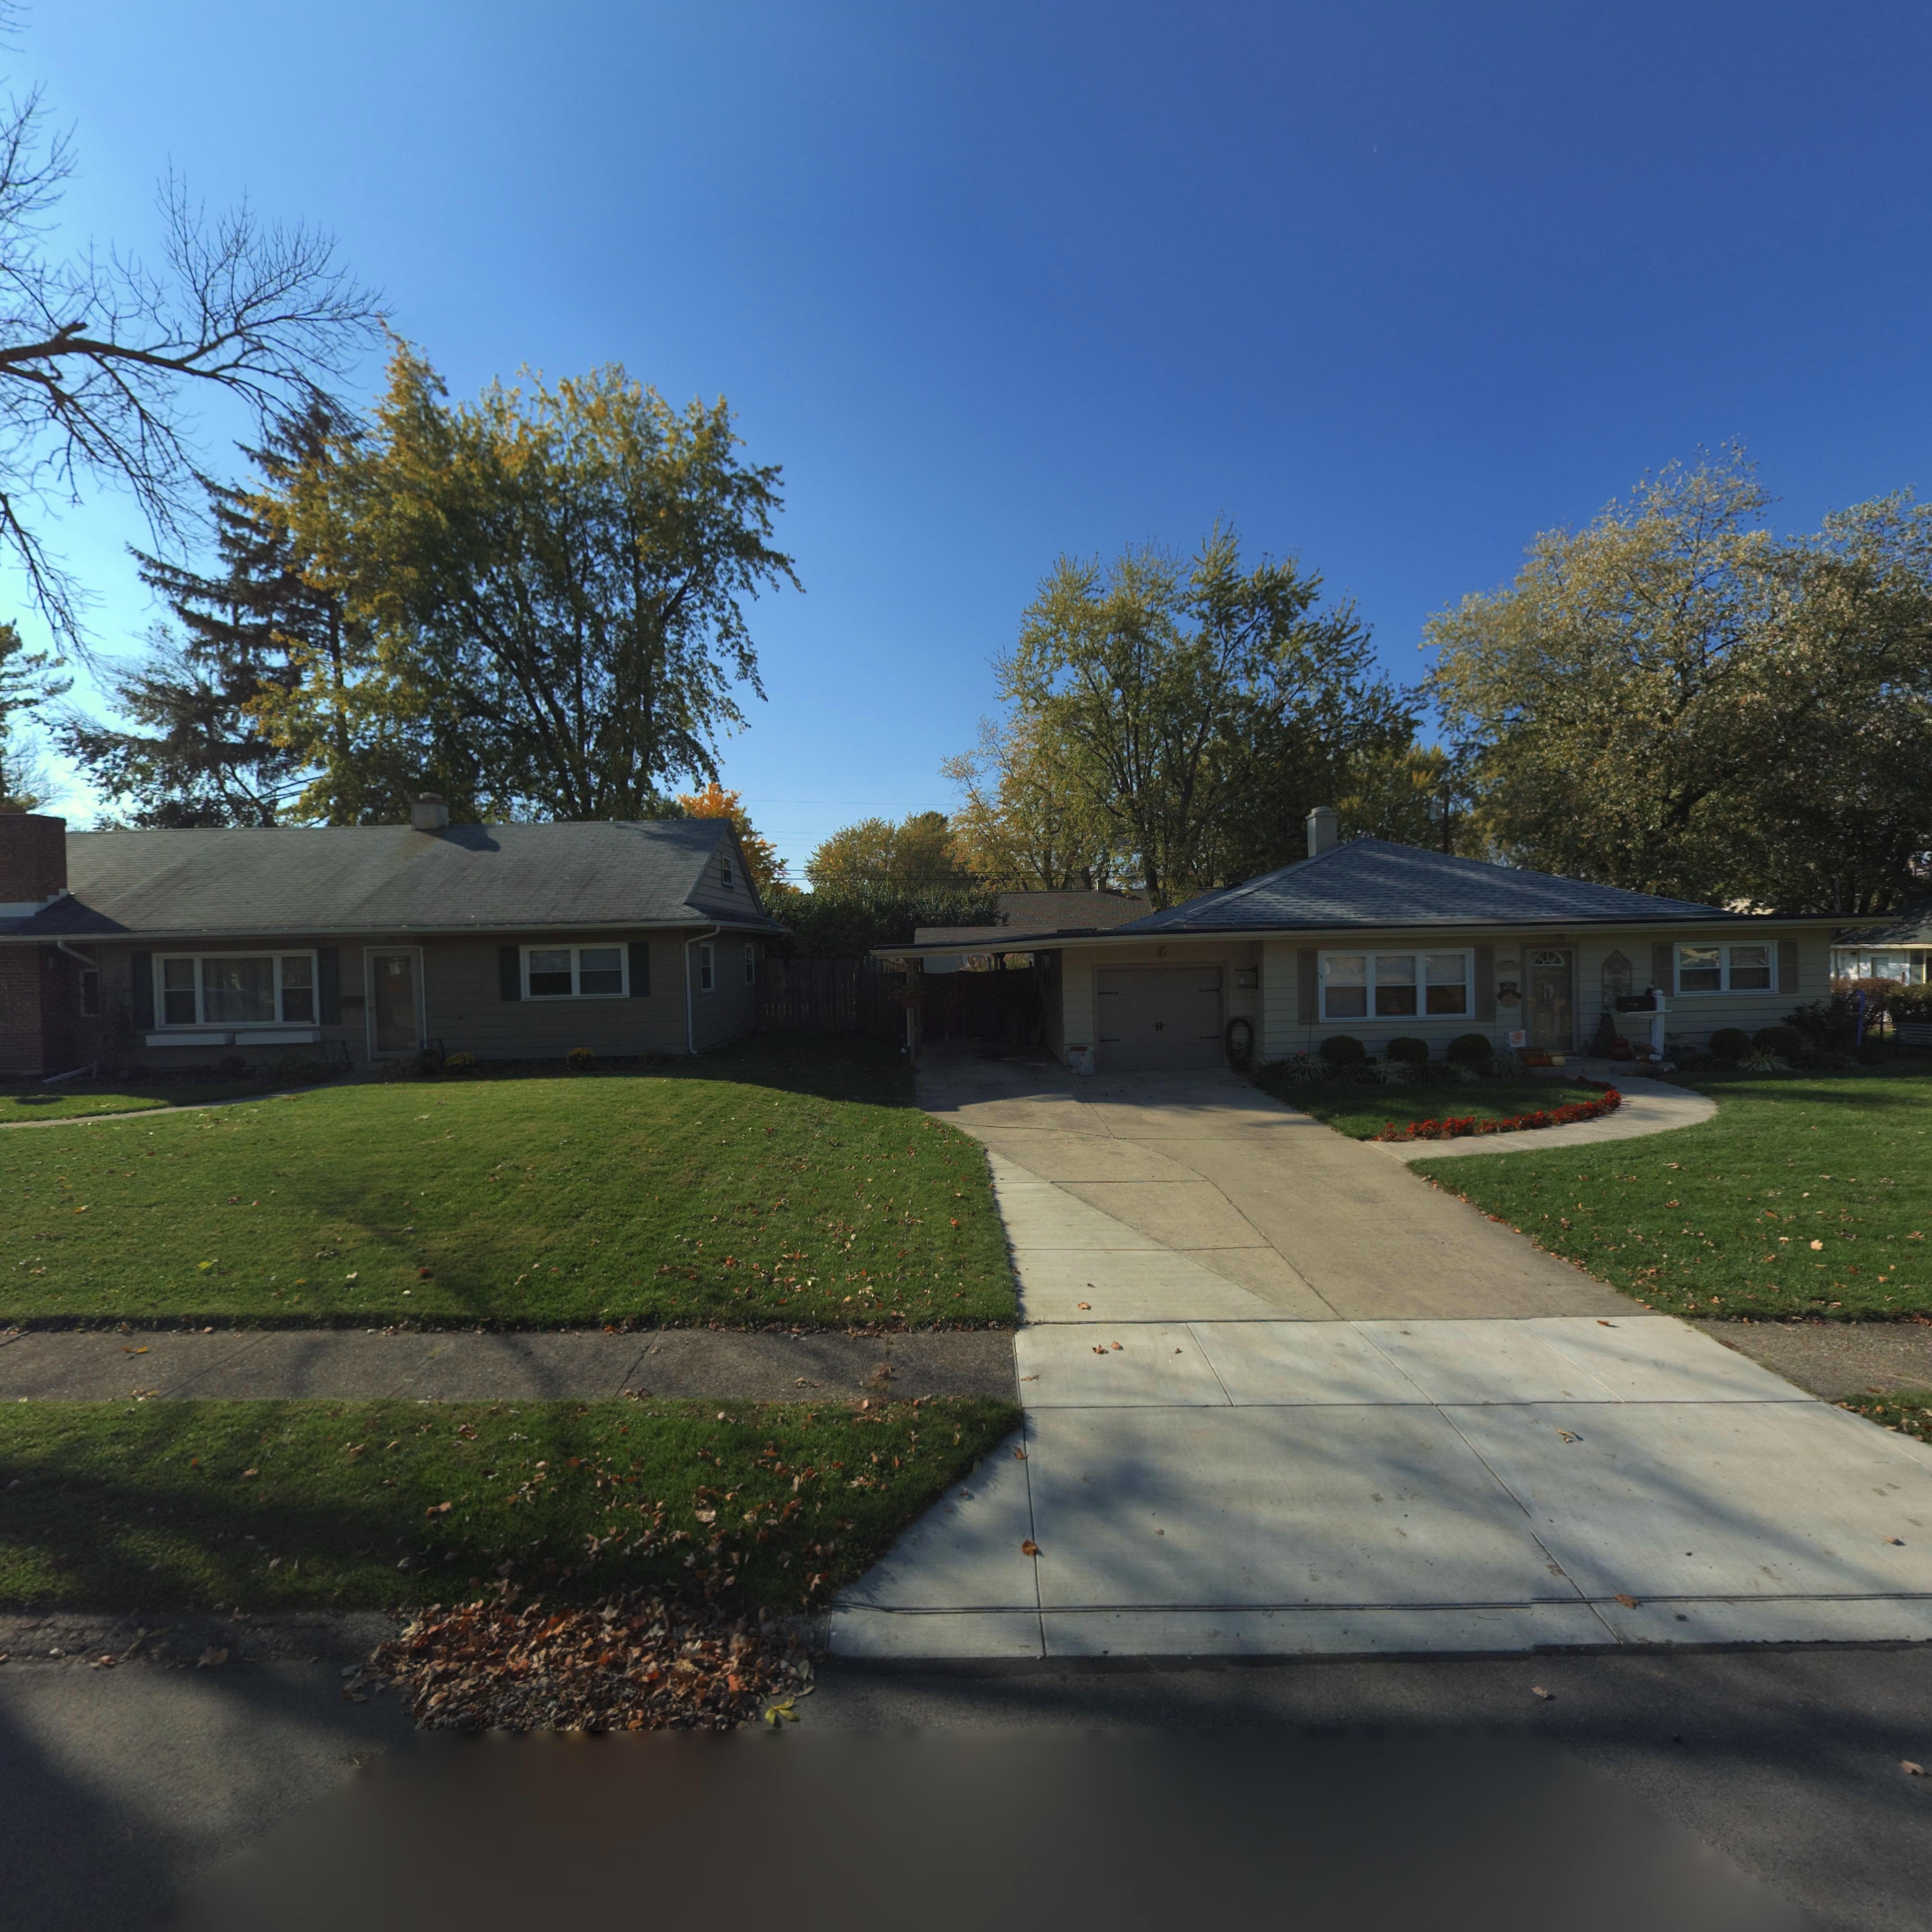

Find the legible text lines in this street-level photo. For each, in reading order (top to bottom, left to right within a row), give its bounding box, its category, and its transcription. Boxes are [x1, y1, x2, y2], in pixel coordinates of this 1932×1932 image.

[340, 963, 363, 976] StreetNumber: *7**